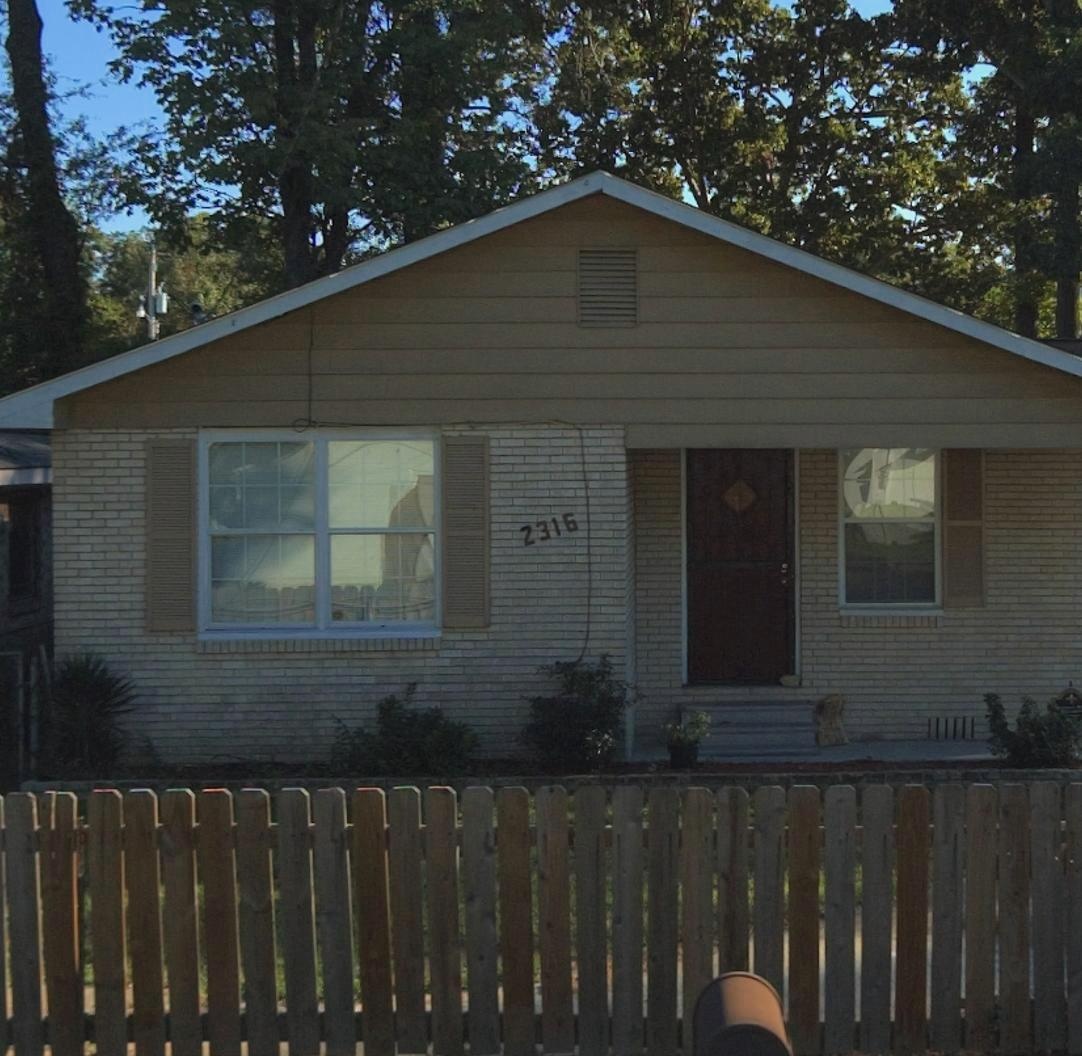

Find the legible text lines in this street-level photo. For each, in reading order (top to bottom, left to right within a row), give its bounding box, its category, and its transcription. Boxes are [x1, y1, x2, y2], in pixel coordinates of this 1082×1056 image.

[516, 509, 582, 549] StreetNumber: 2316